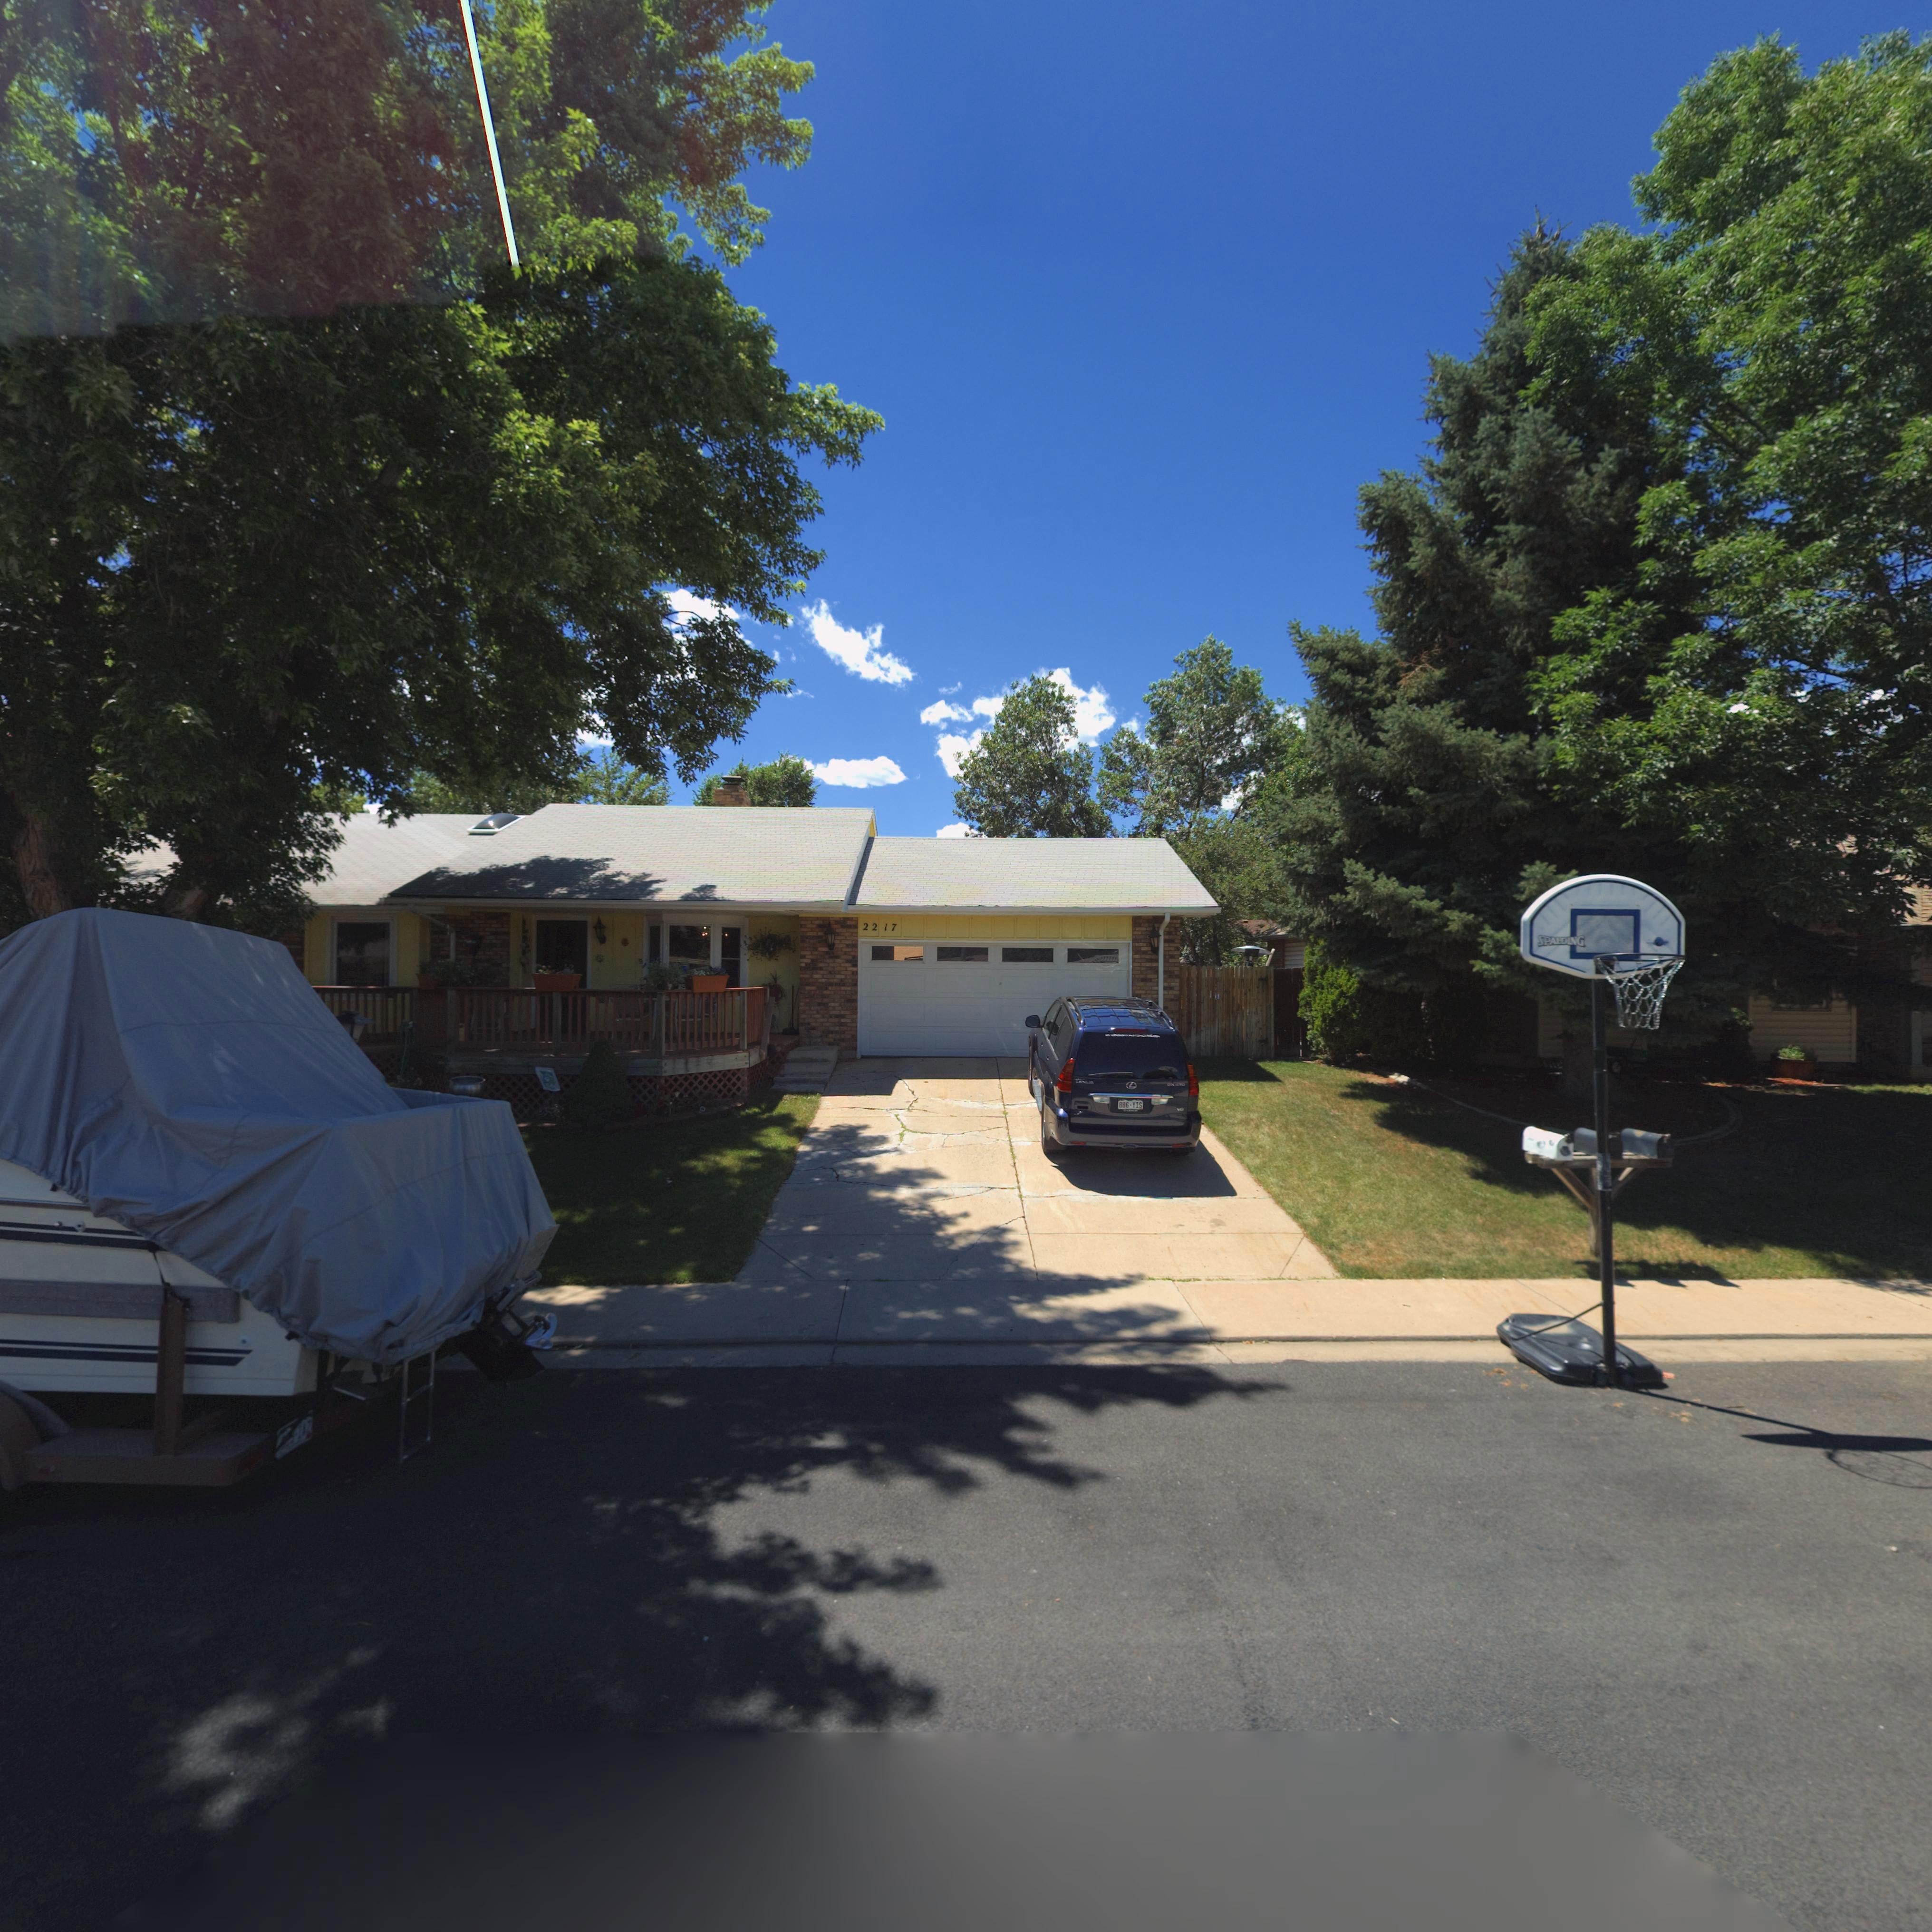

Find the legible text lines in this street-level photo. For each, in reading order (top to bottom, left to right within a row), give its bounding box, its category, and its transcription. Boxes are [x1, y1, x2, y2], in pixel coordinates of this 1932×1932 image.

[862, 922, 898, 931] StreetNumber: 2217